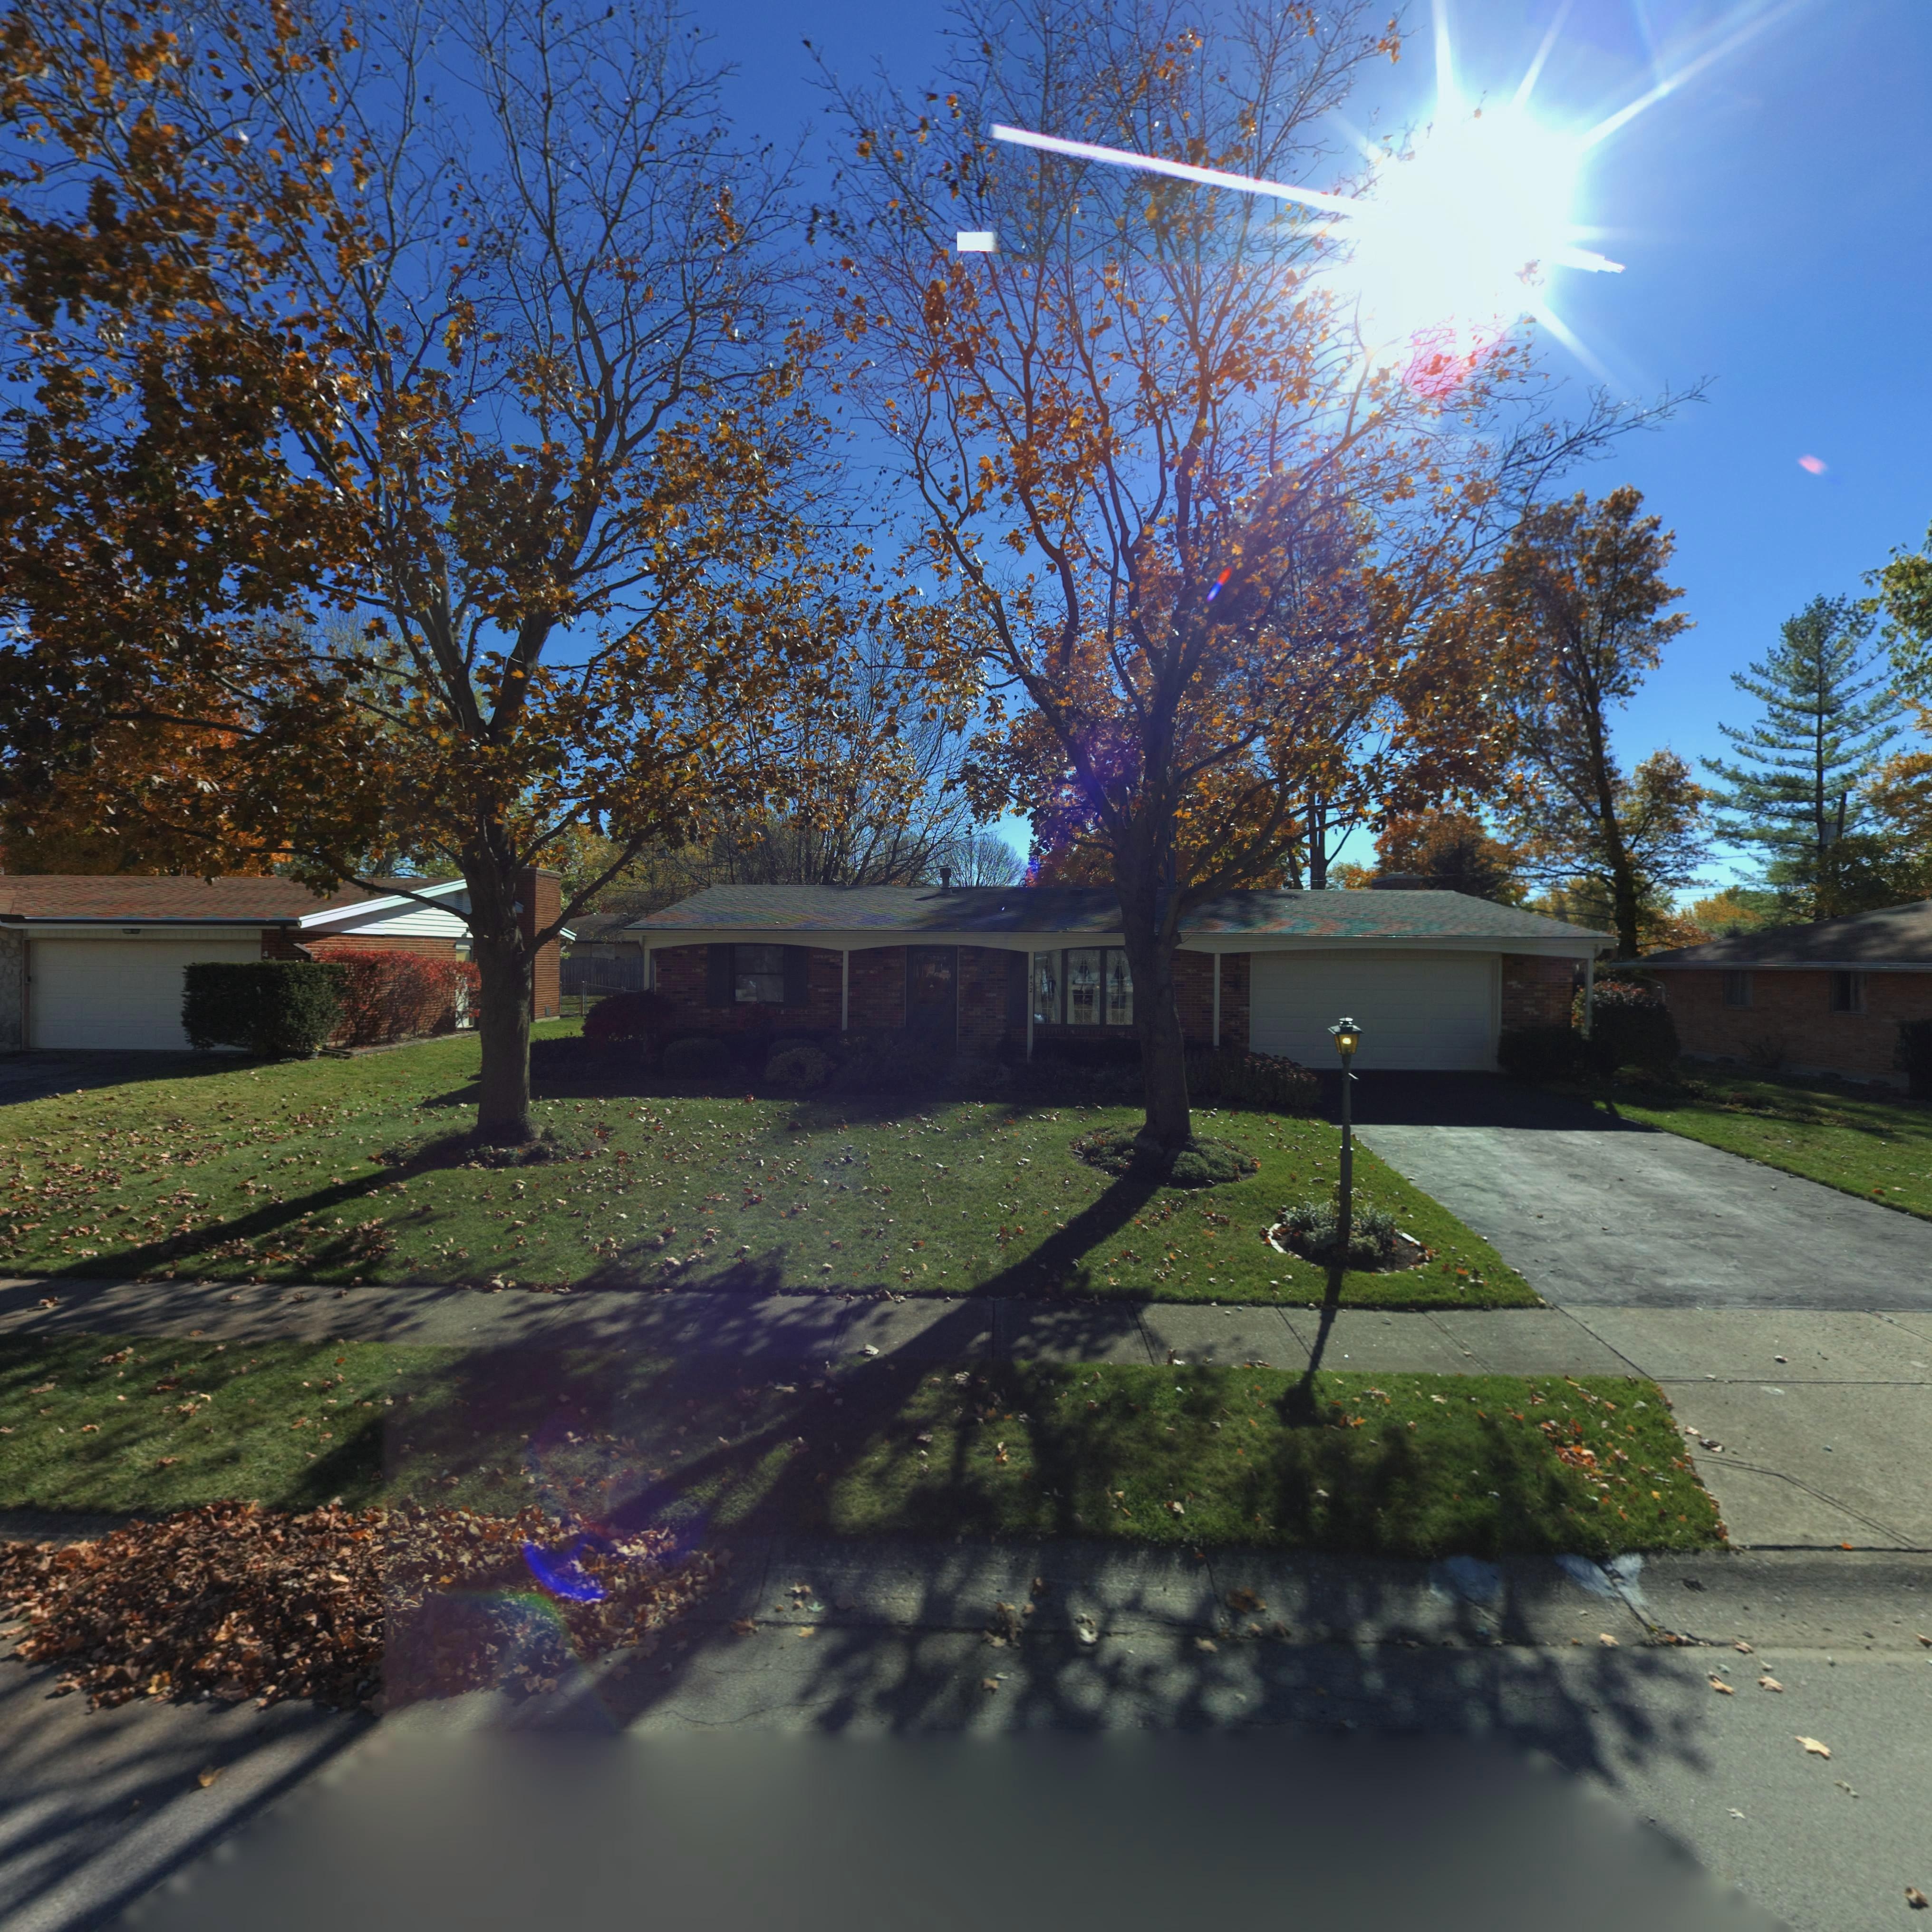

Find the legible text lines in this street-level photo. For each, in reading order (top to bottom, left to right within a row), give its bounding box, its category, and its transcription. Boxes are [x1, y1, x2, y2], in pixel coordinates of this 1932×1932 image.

[1028, 974, 1034, 994] StreetNumber: 432